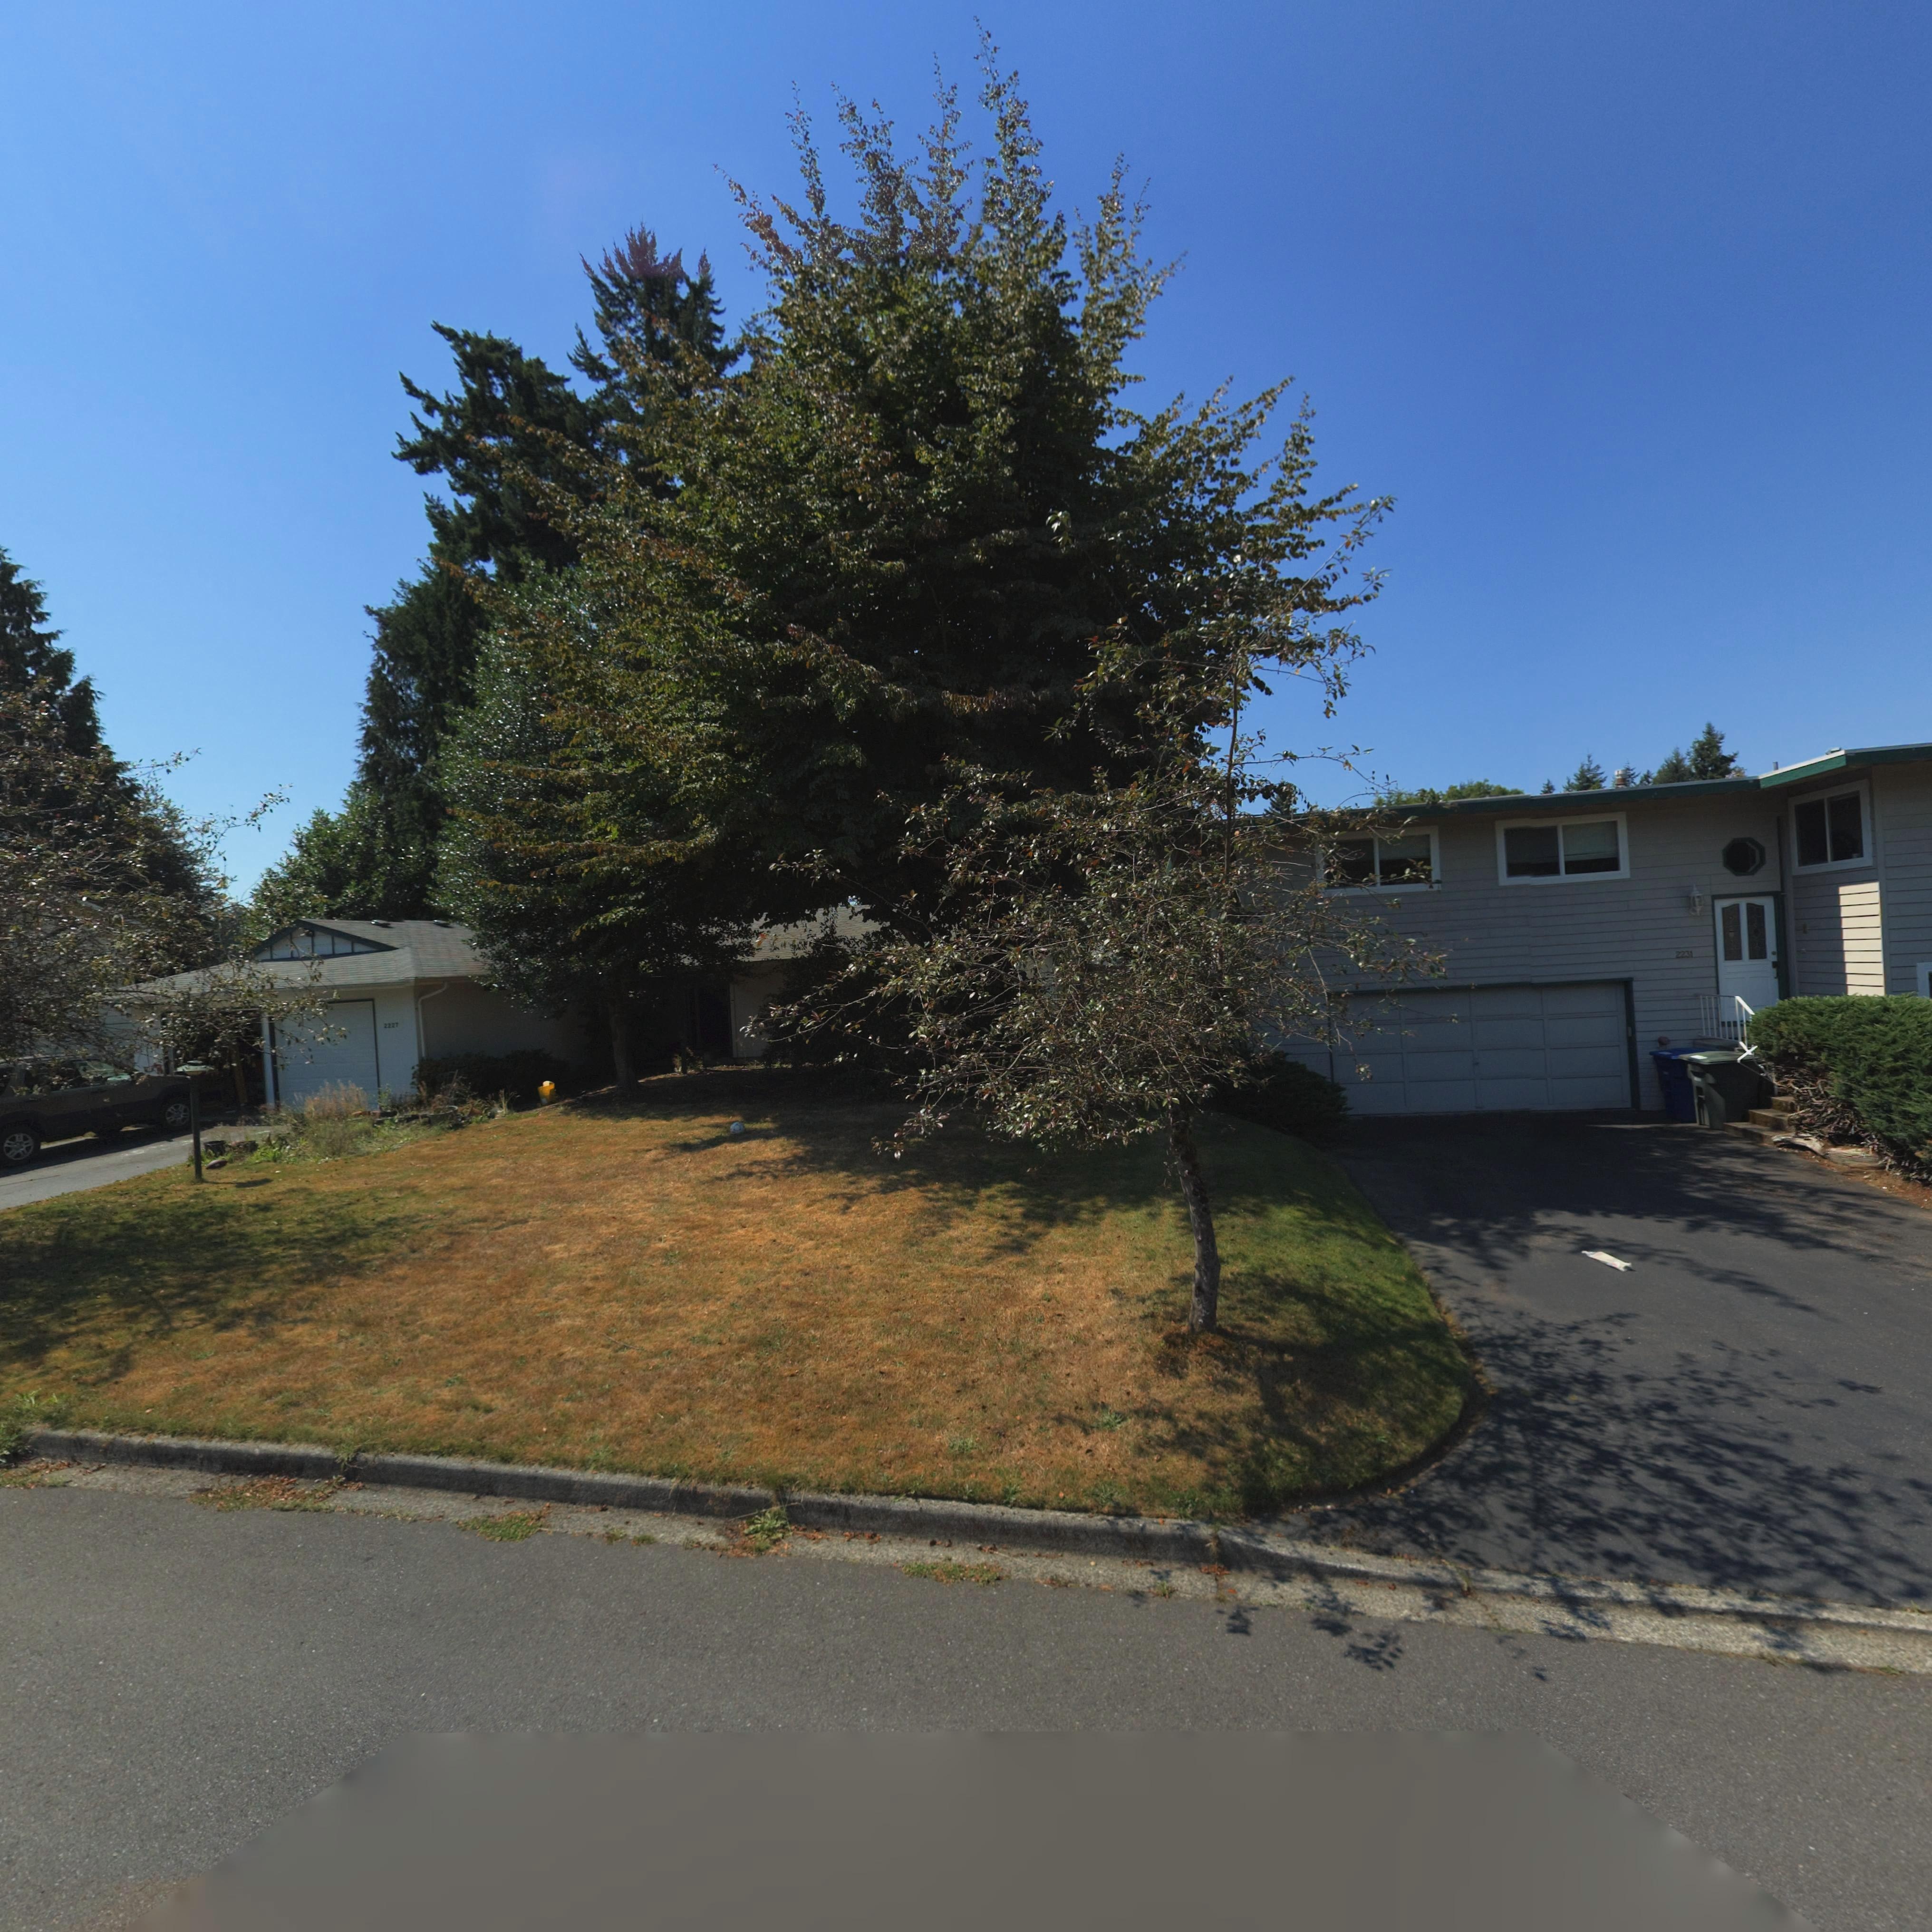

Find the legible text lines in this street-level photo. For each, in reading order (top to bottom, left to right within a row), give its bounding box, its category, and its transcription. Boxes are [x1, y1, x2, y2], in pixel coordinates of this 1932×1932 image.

[1675, 949, 1694, 958] StreetNumber: 2231
[384, 1022, 399, 1028] StreetNumber: 2227